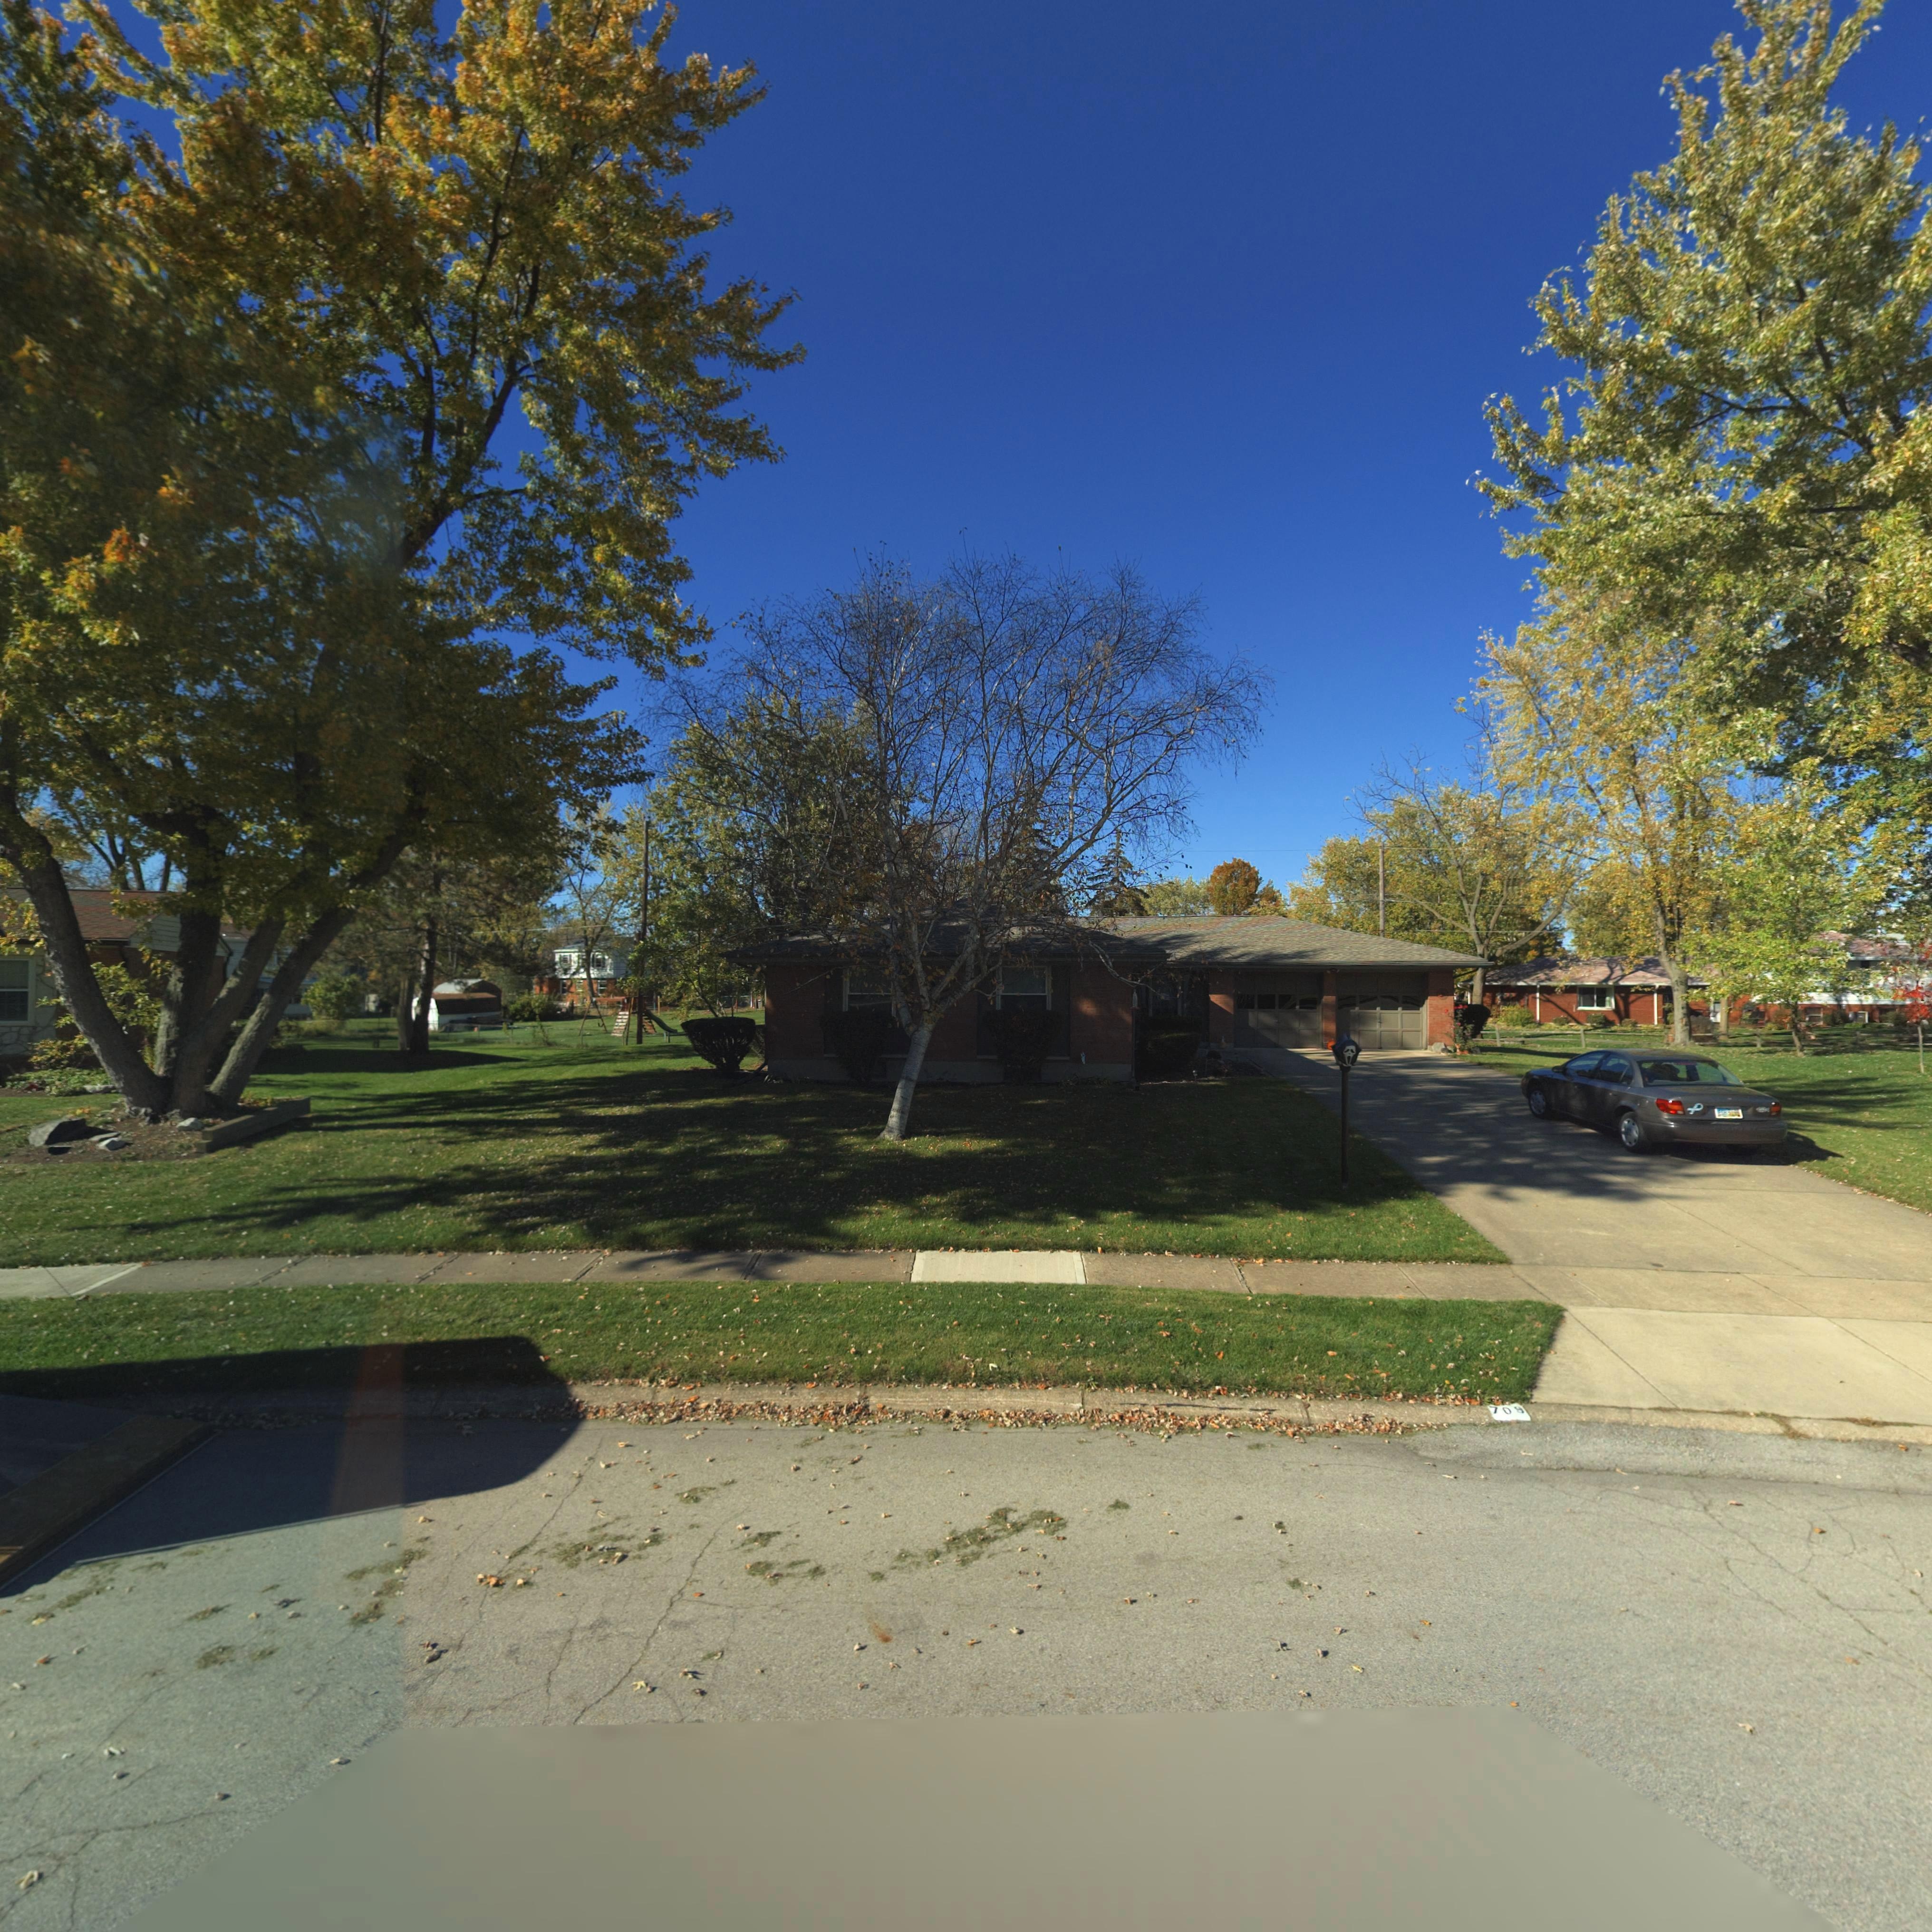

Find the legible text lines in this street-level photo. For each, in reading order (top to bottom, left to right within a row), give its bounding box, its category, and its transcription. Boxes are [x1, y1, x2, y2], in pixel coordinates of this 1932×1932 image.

[1487, 1404, 1527, 1416] StreetNumber: 70*